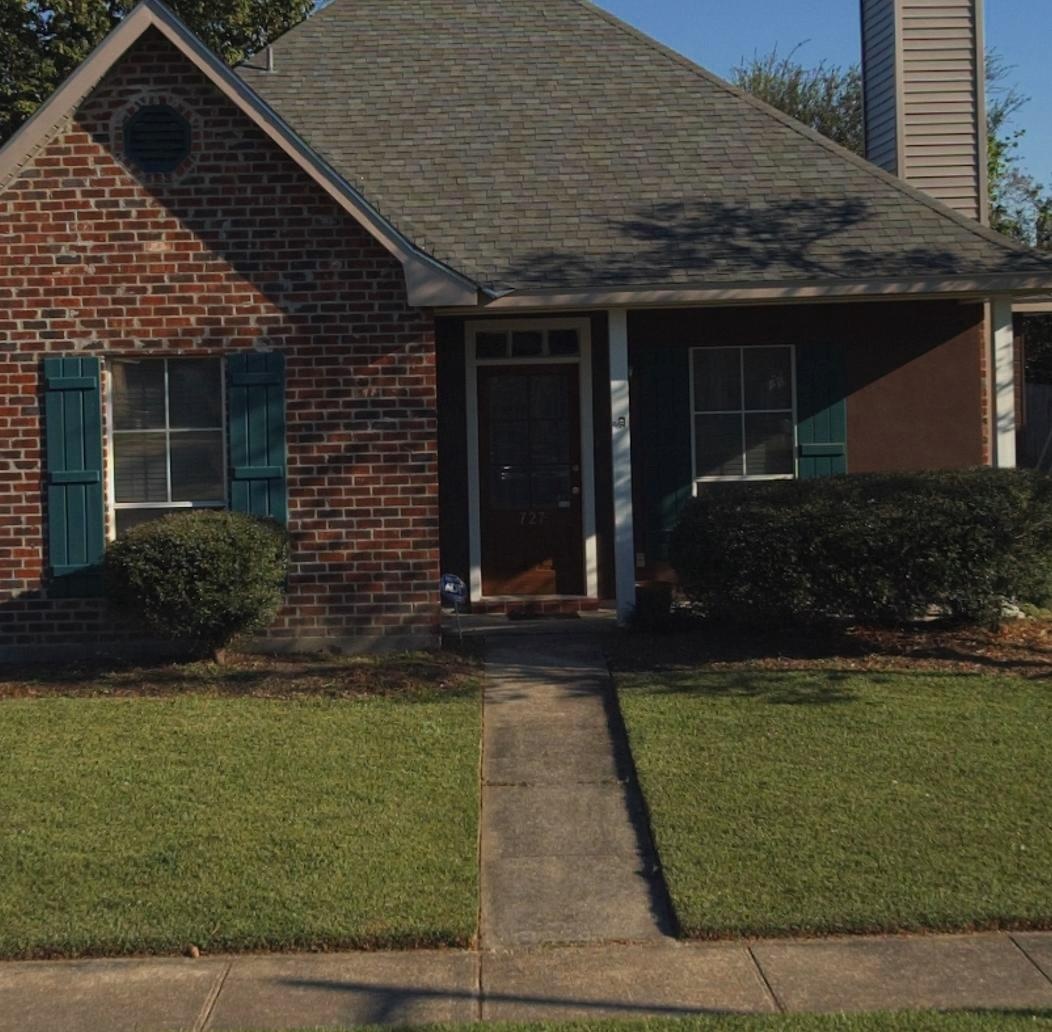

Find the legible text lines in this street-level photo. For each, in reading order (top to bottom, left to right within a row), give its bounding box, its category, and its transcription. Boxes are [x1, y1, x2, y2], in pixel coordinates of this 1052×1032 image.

[517, 511, 546, 525] StreetNumber: 727
[444, 581, 464, 595] None: ADT